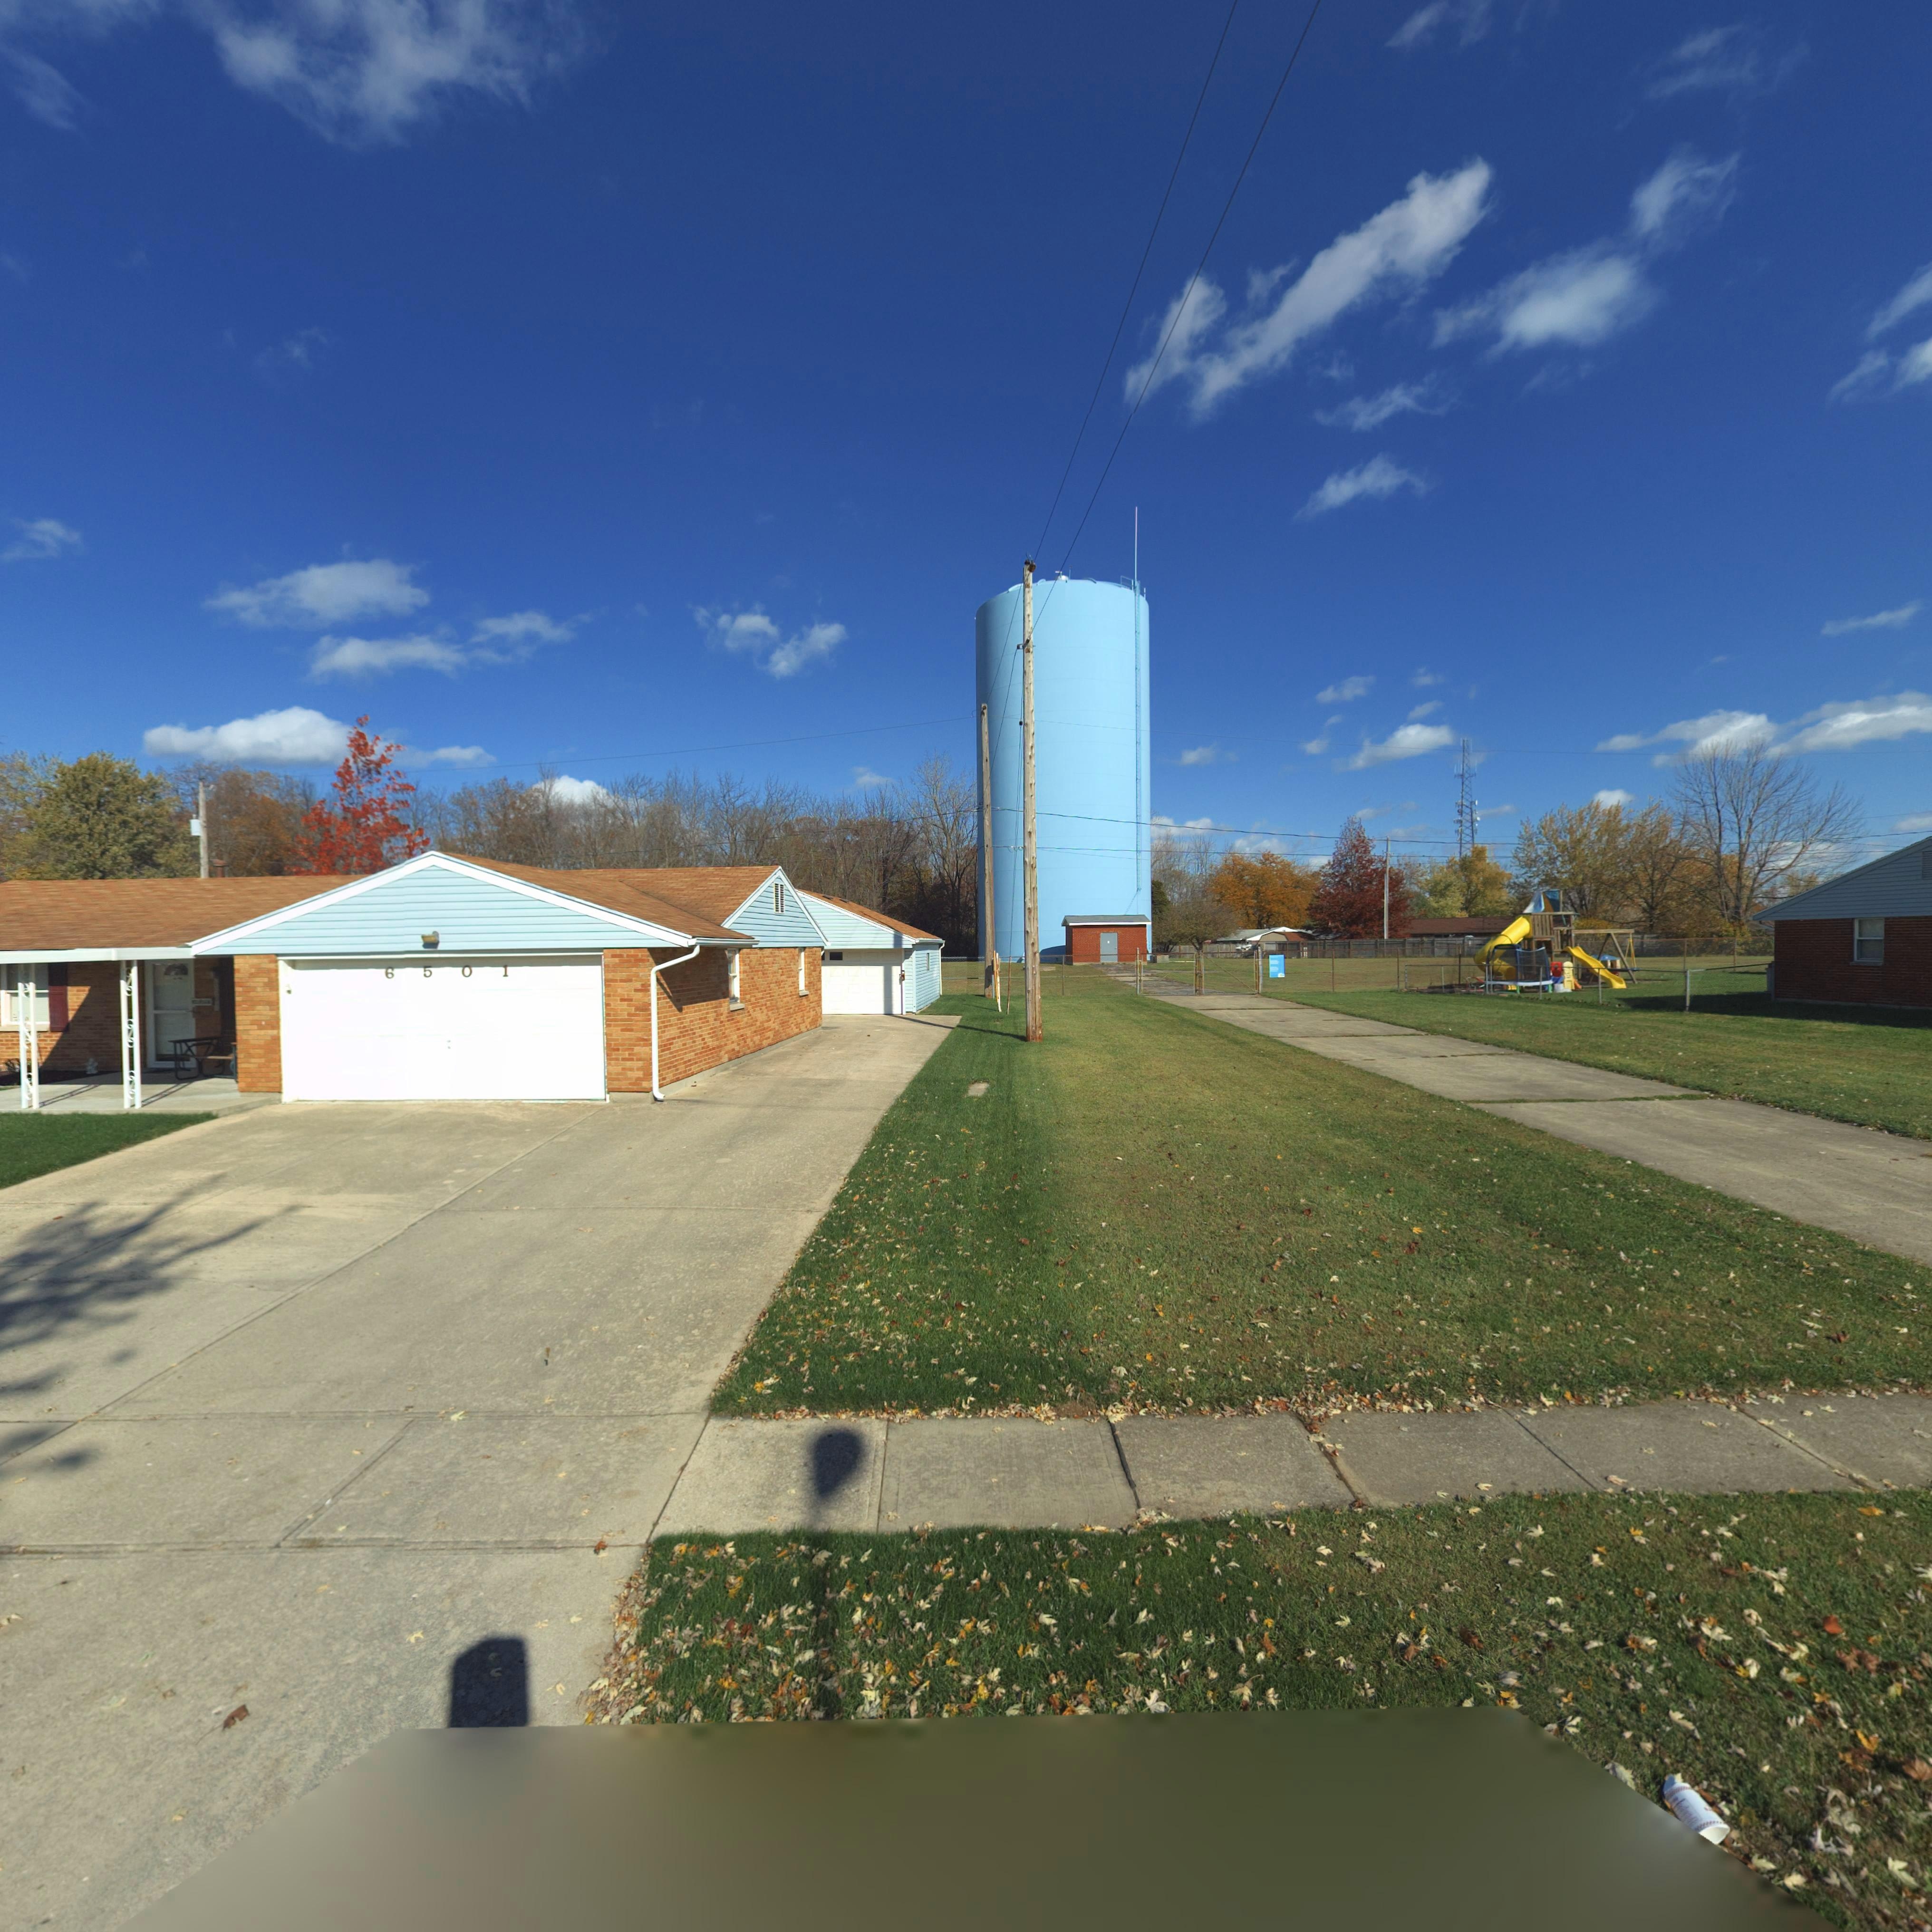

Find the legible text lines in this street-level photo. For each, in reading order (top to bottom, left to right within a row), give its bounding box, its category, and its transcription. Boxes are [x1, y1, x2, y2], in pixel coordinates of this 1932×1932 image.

[384, 964, 510, 979] StreetNumber: 6501